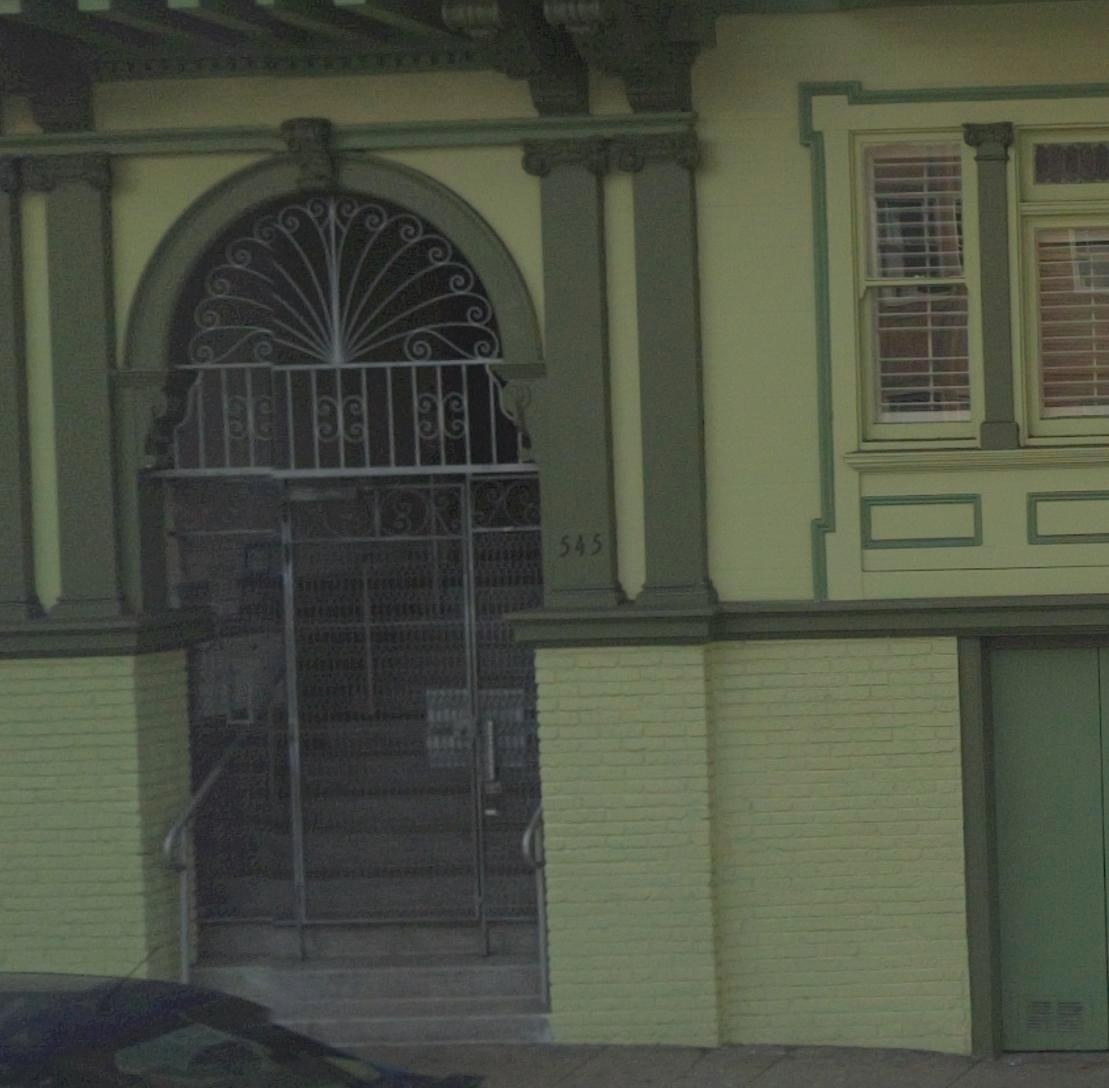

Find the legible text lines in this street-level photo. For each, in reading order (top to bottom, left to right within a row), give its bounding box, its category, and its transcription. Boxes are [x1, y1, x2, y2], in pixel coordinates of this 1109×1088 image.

[557, 531, 605, 560] StreetNumber: 545